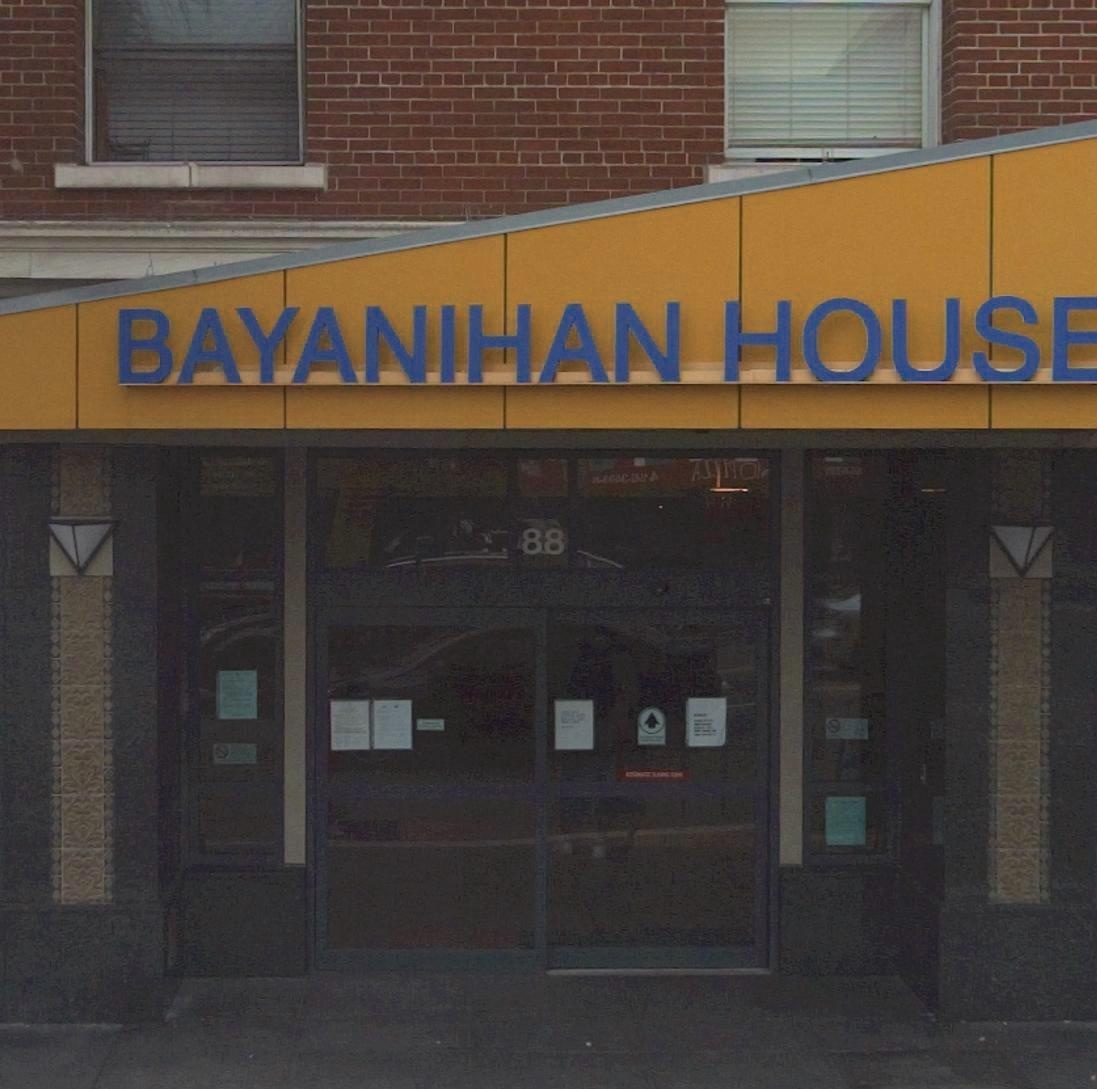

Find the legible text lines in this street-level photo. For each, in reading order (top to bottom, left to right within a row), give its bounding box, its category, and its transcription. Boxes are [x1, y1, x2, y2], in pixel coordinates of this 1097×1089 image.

[114, 292, 1046, 389] BusinessName: BAYANIHAN HOUS
[520, 525, 568, 559] StreetNumber: 88